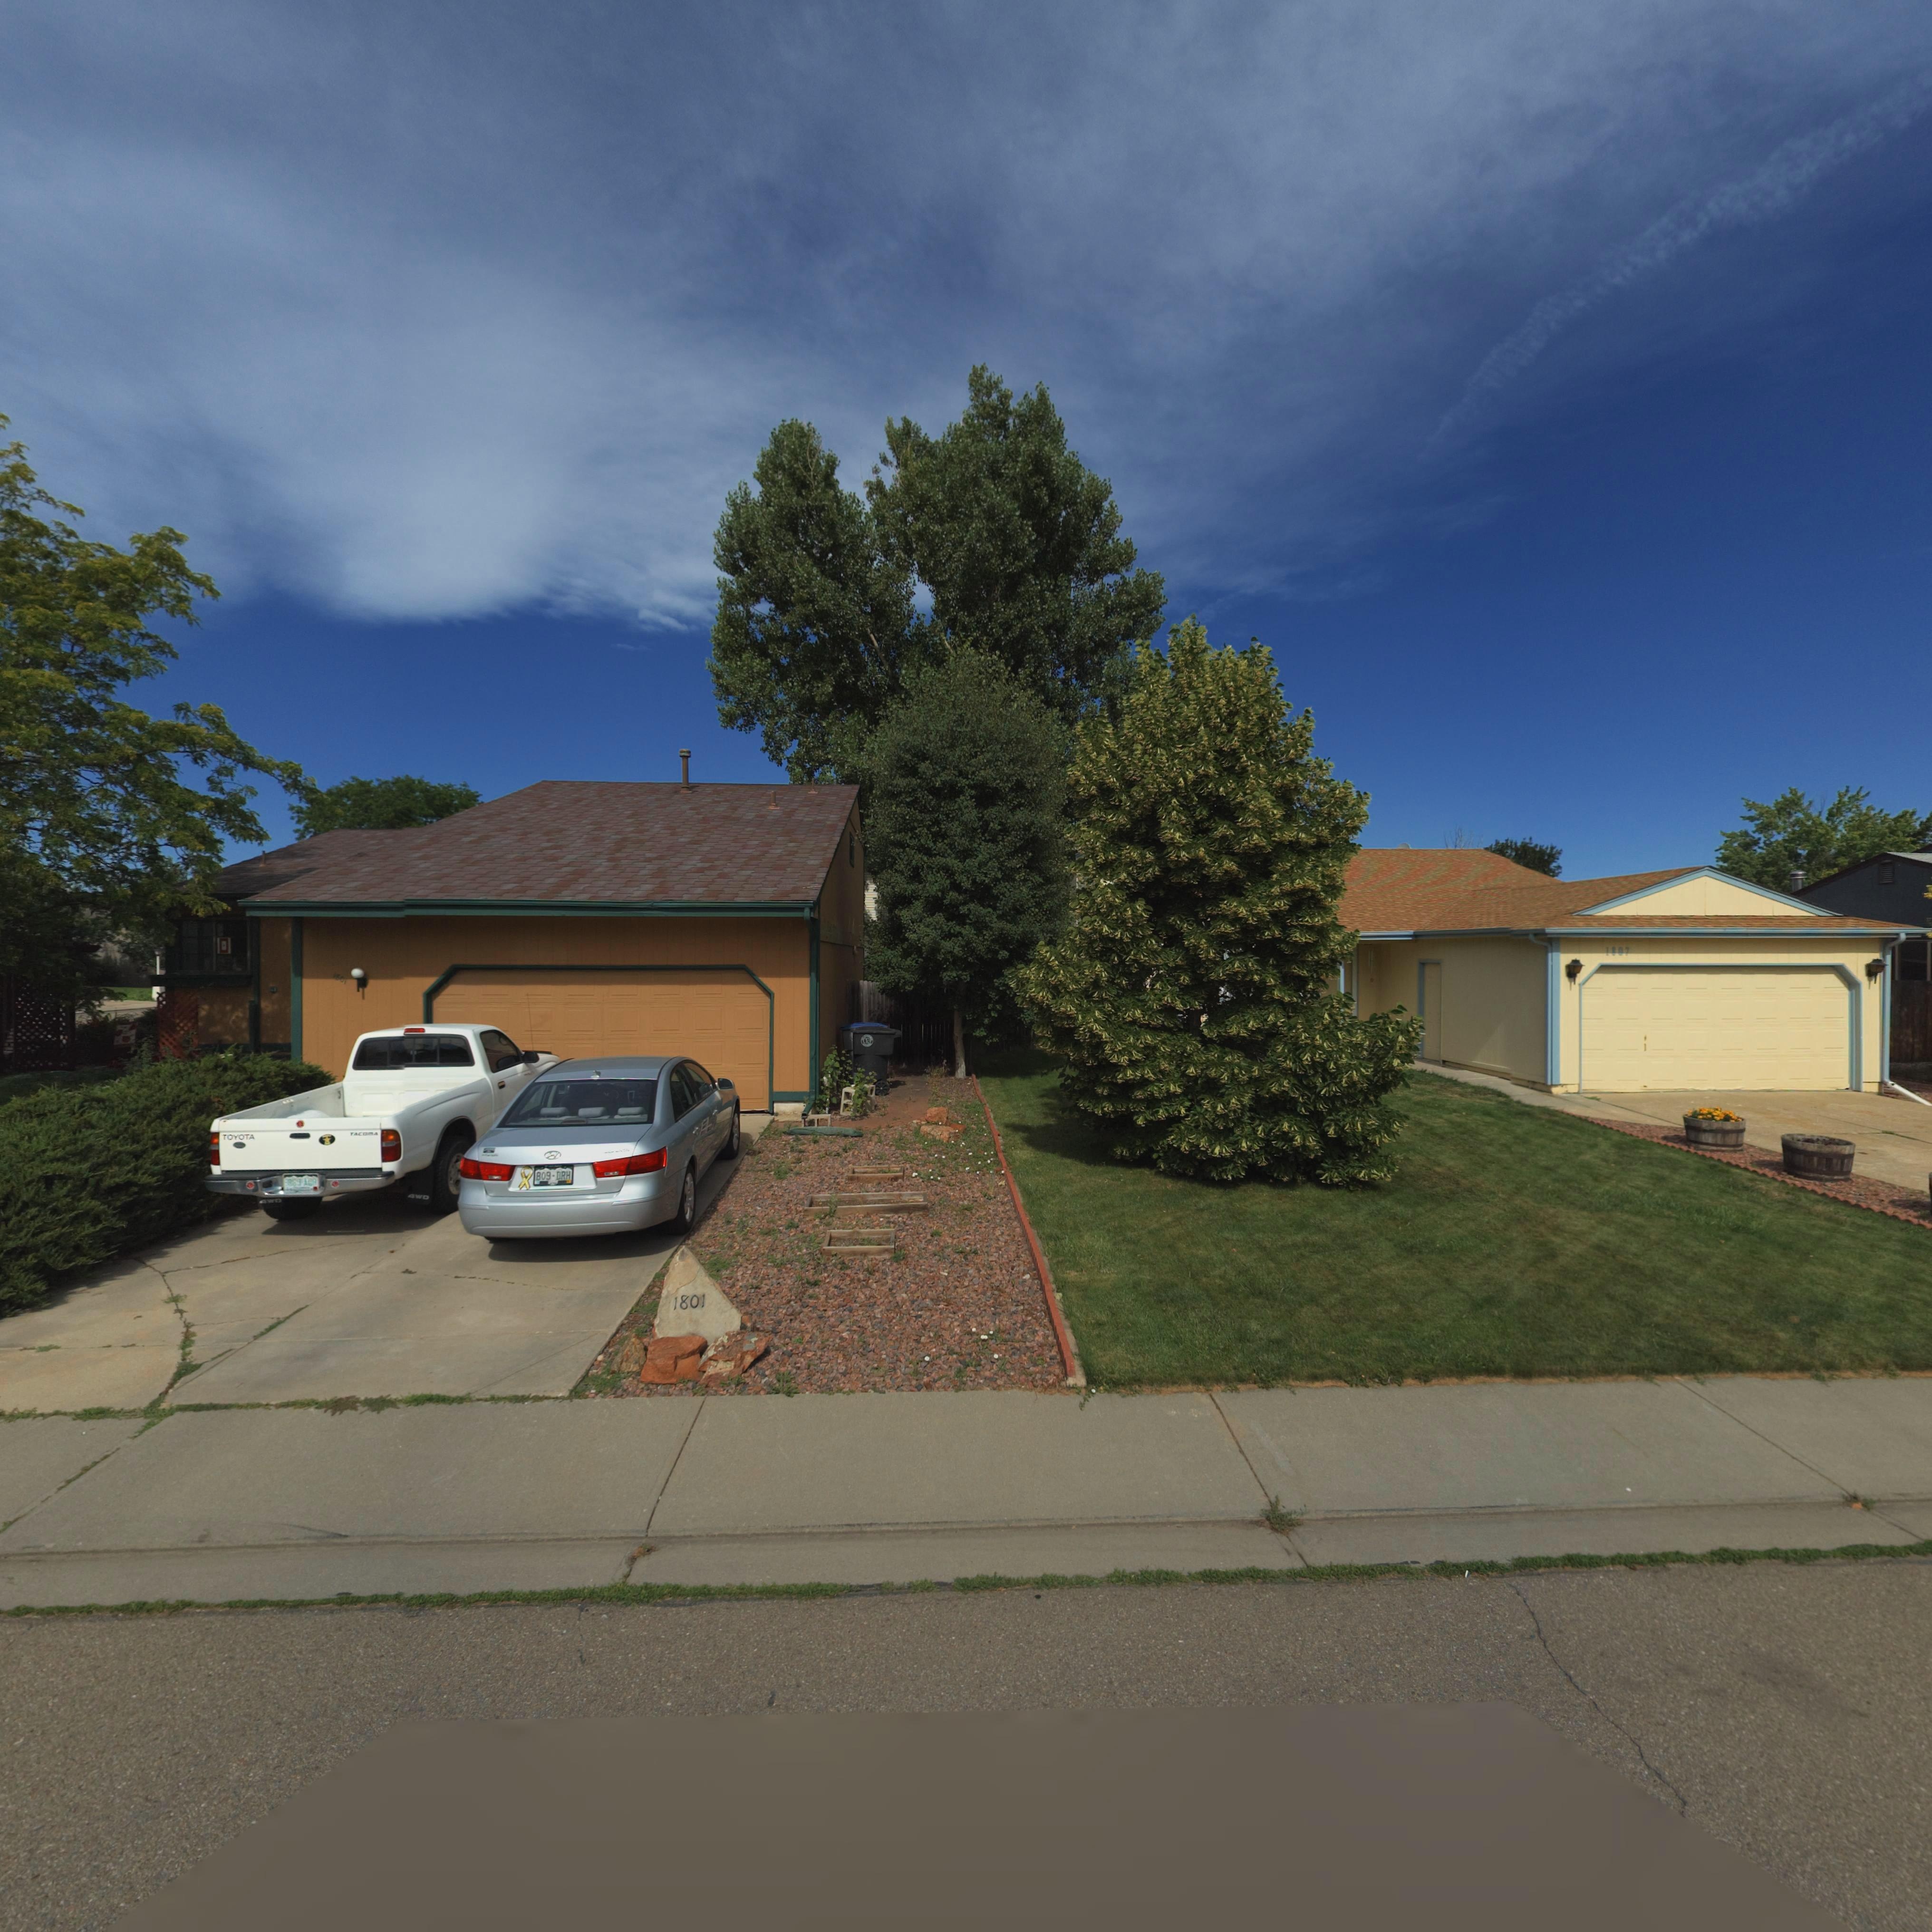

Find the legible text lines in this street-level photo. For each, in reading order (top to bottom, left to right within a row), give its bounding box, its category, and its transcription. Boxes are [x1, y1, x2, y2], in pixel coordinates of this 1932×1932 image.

[1605, 946, 1630, 956] StreetNumber: 1807
[333, 971, 347, 985] StreetNumber: 1801
[672, 1293, 705, 1311] StreetNumber: 1801